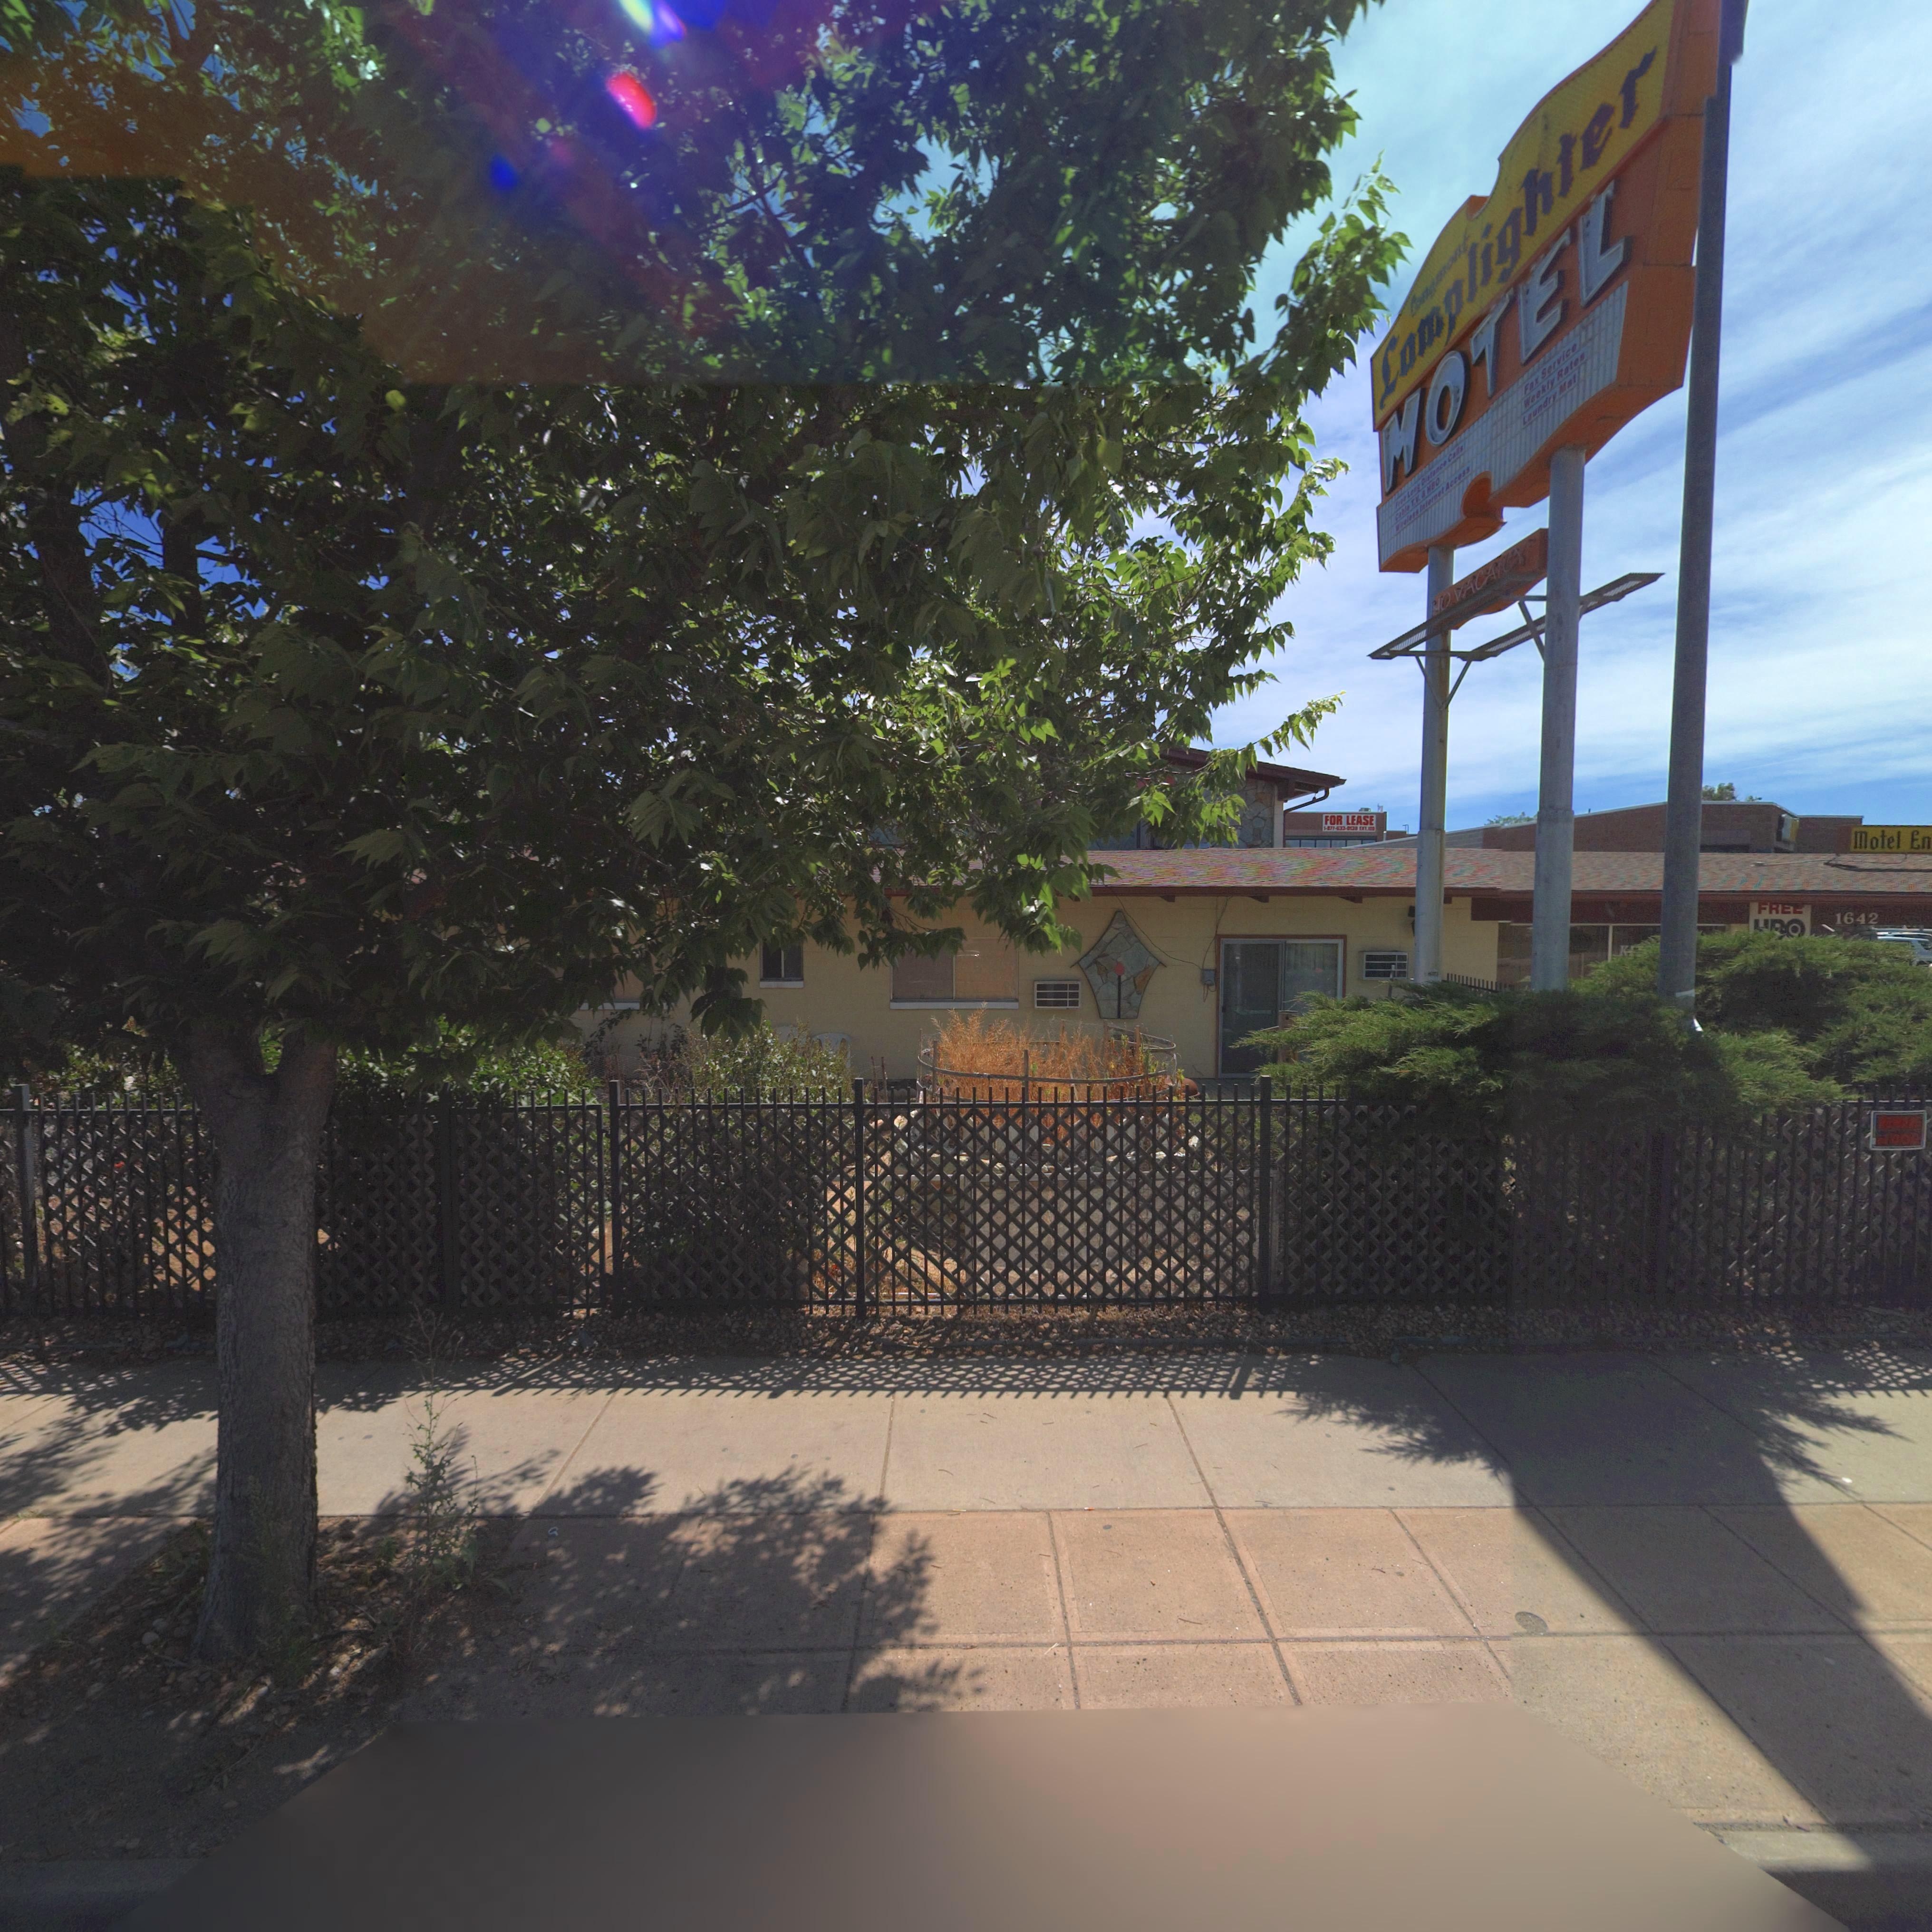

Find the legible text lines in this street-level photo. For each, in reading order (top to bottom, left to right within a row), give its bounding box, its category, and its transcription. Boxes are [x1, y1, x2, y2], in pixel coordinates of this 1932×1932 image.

[1380, 176, 1627, 496] BusinessName: MOTEL
[1378, 44, 1657, 411] BusinessName: Lamplighter
[1835, 911, 1879, 925] StreetNumber: 1642